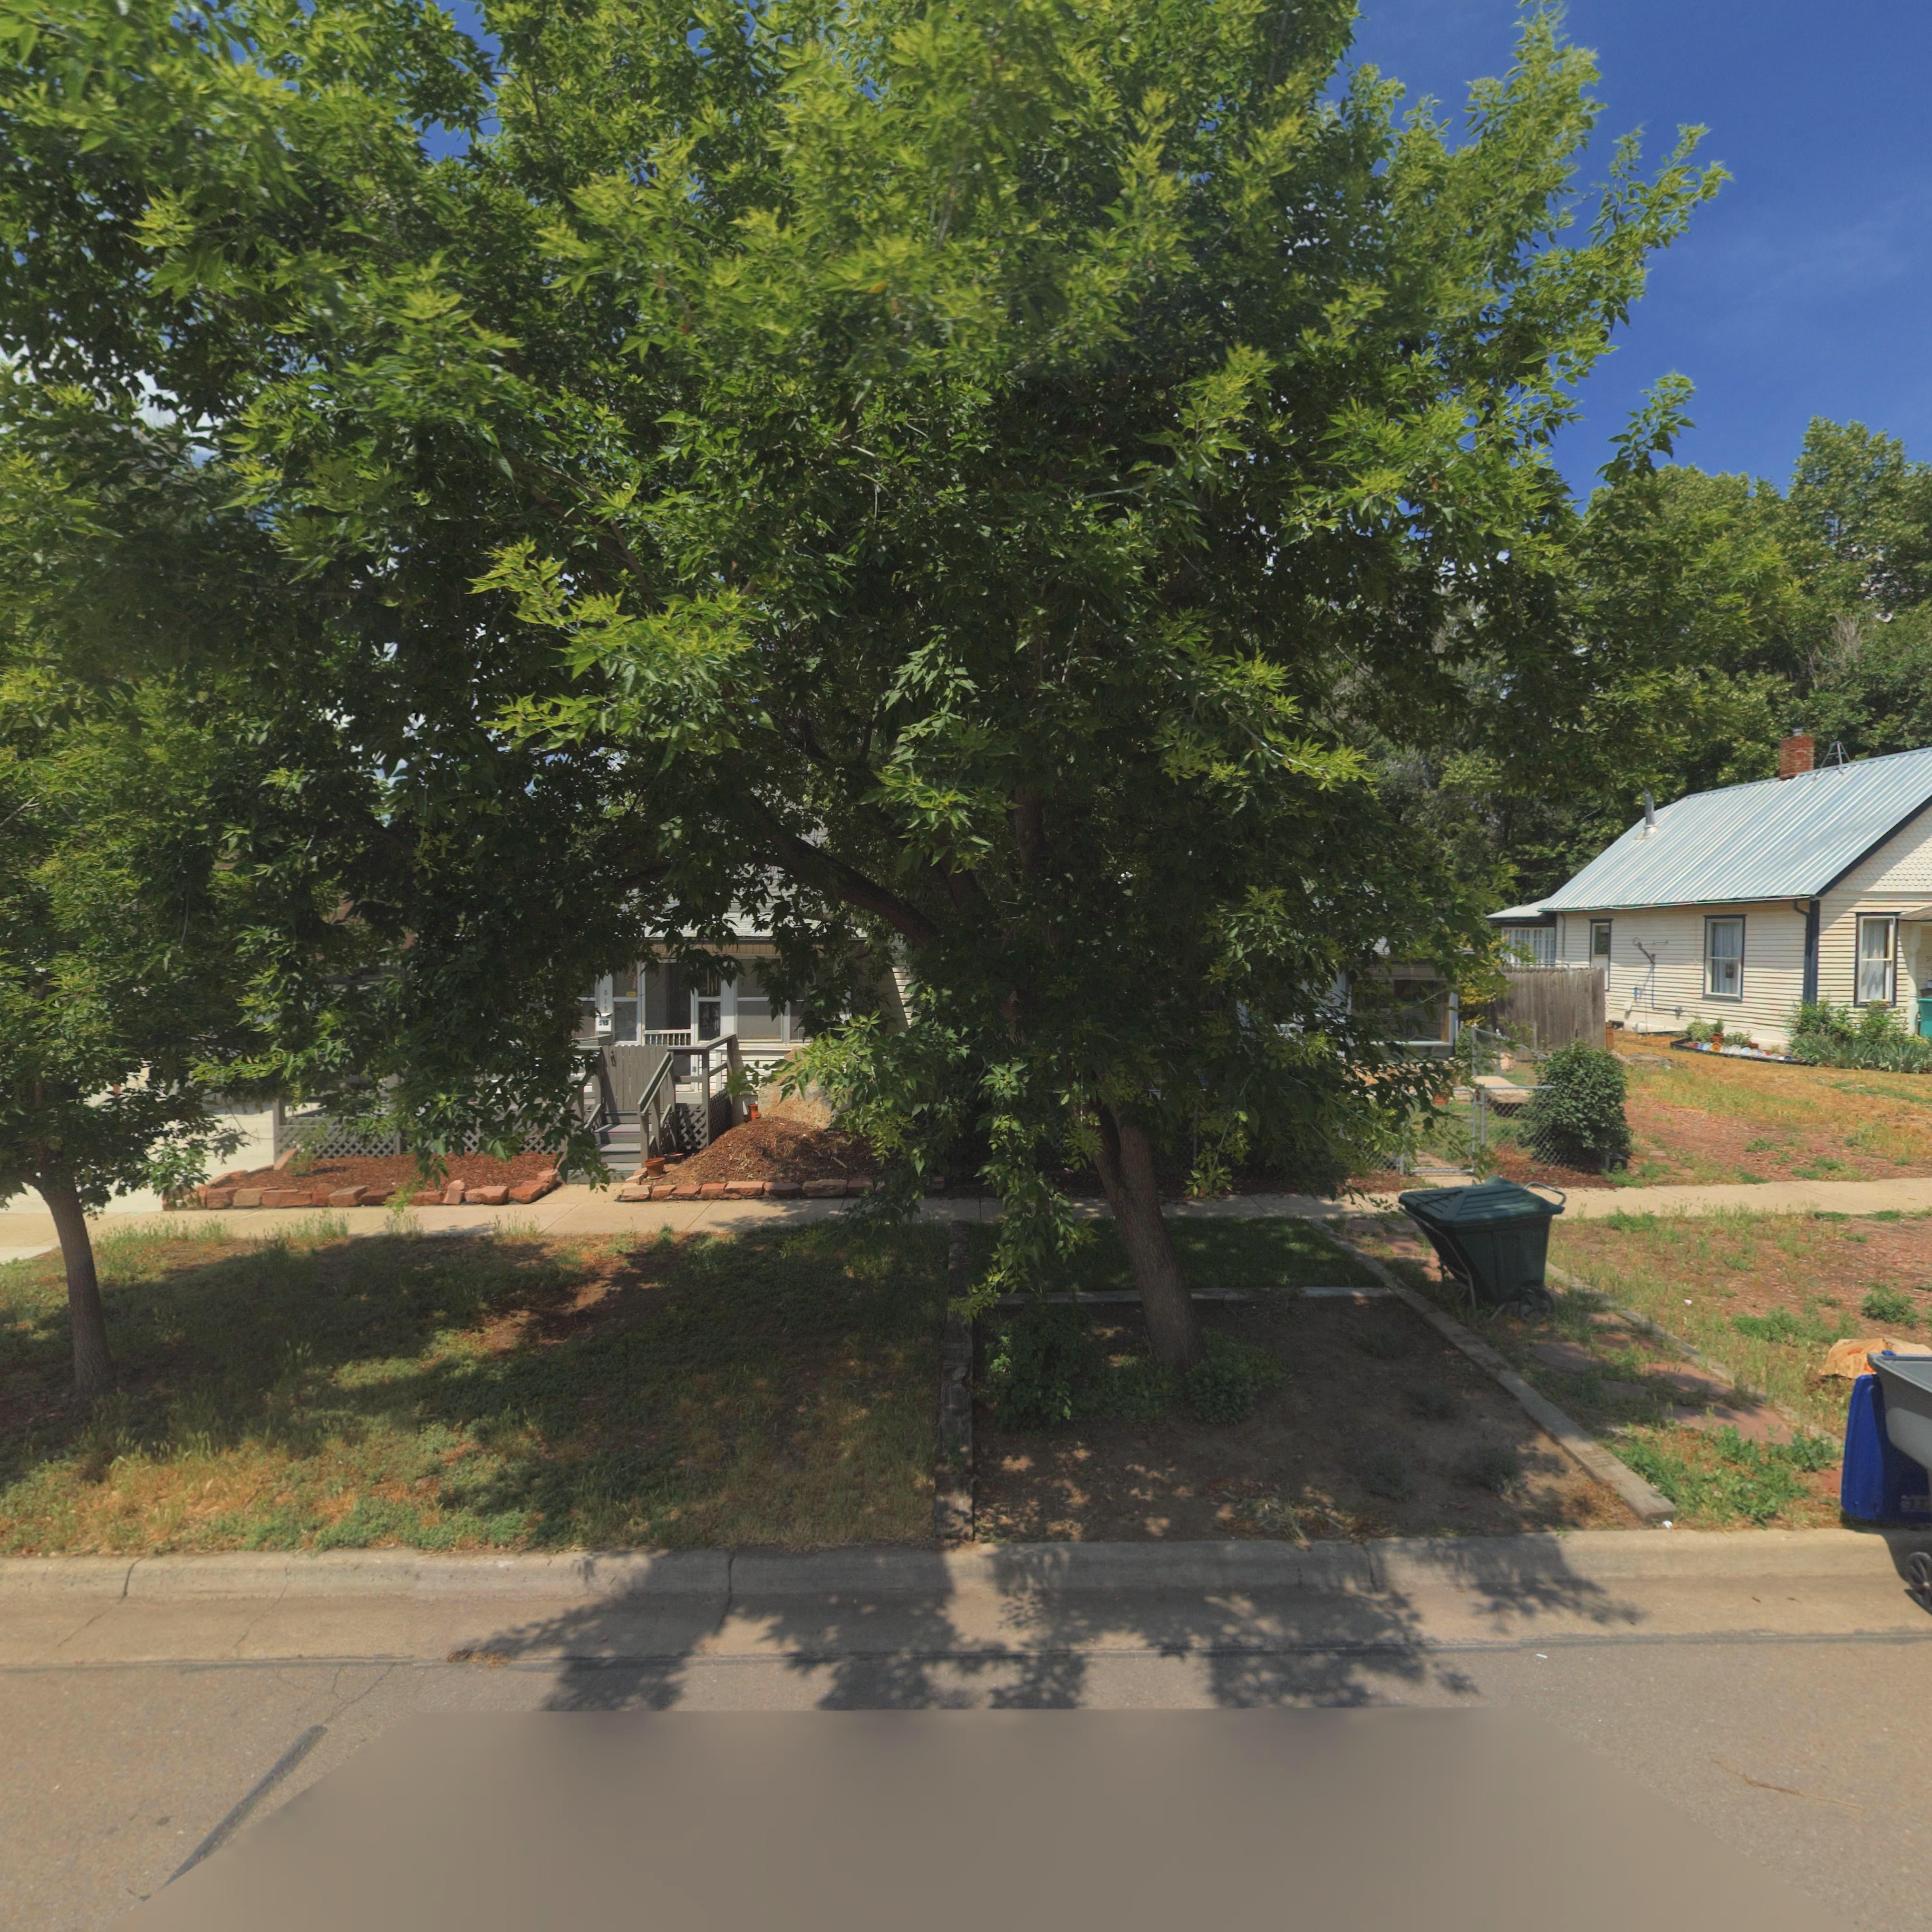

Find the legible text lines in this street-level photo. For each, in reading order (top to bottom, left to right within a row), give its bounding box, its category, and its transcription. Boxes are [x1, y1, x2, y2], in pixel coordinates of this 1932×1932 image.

[604, 989, 607, 1012] StreetNumber: 515
[598, 1019, 609, 1025] StreetNumber: 515